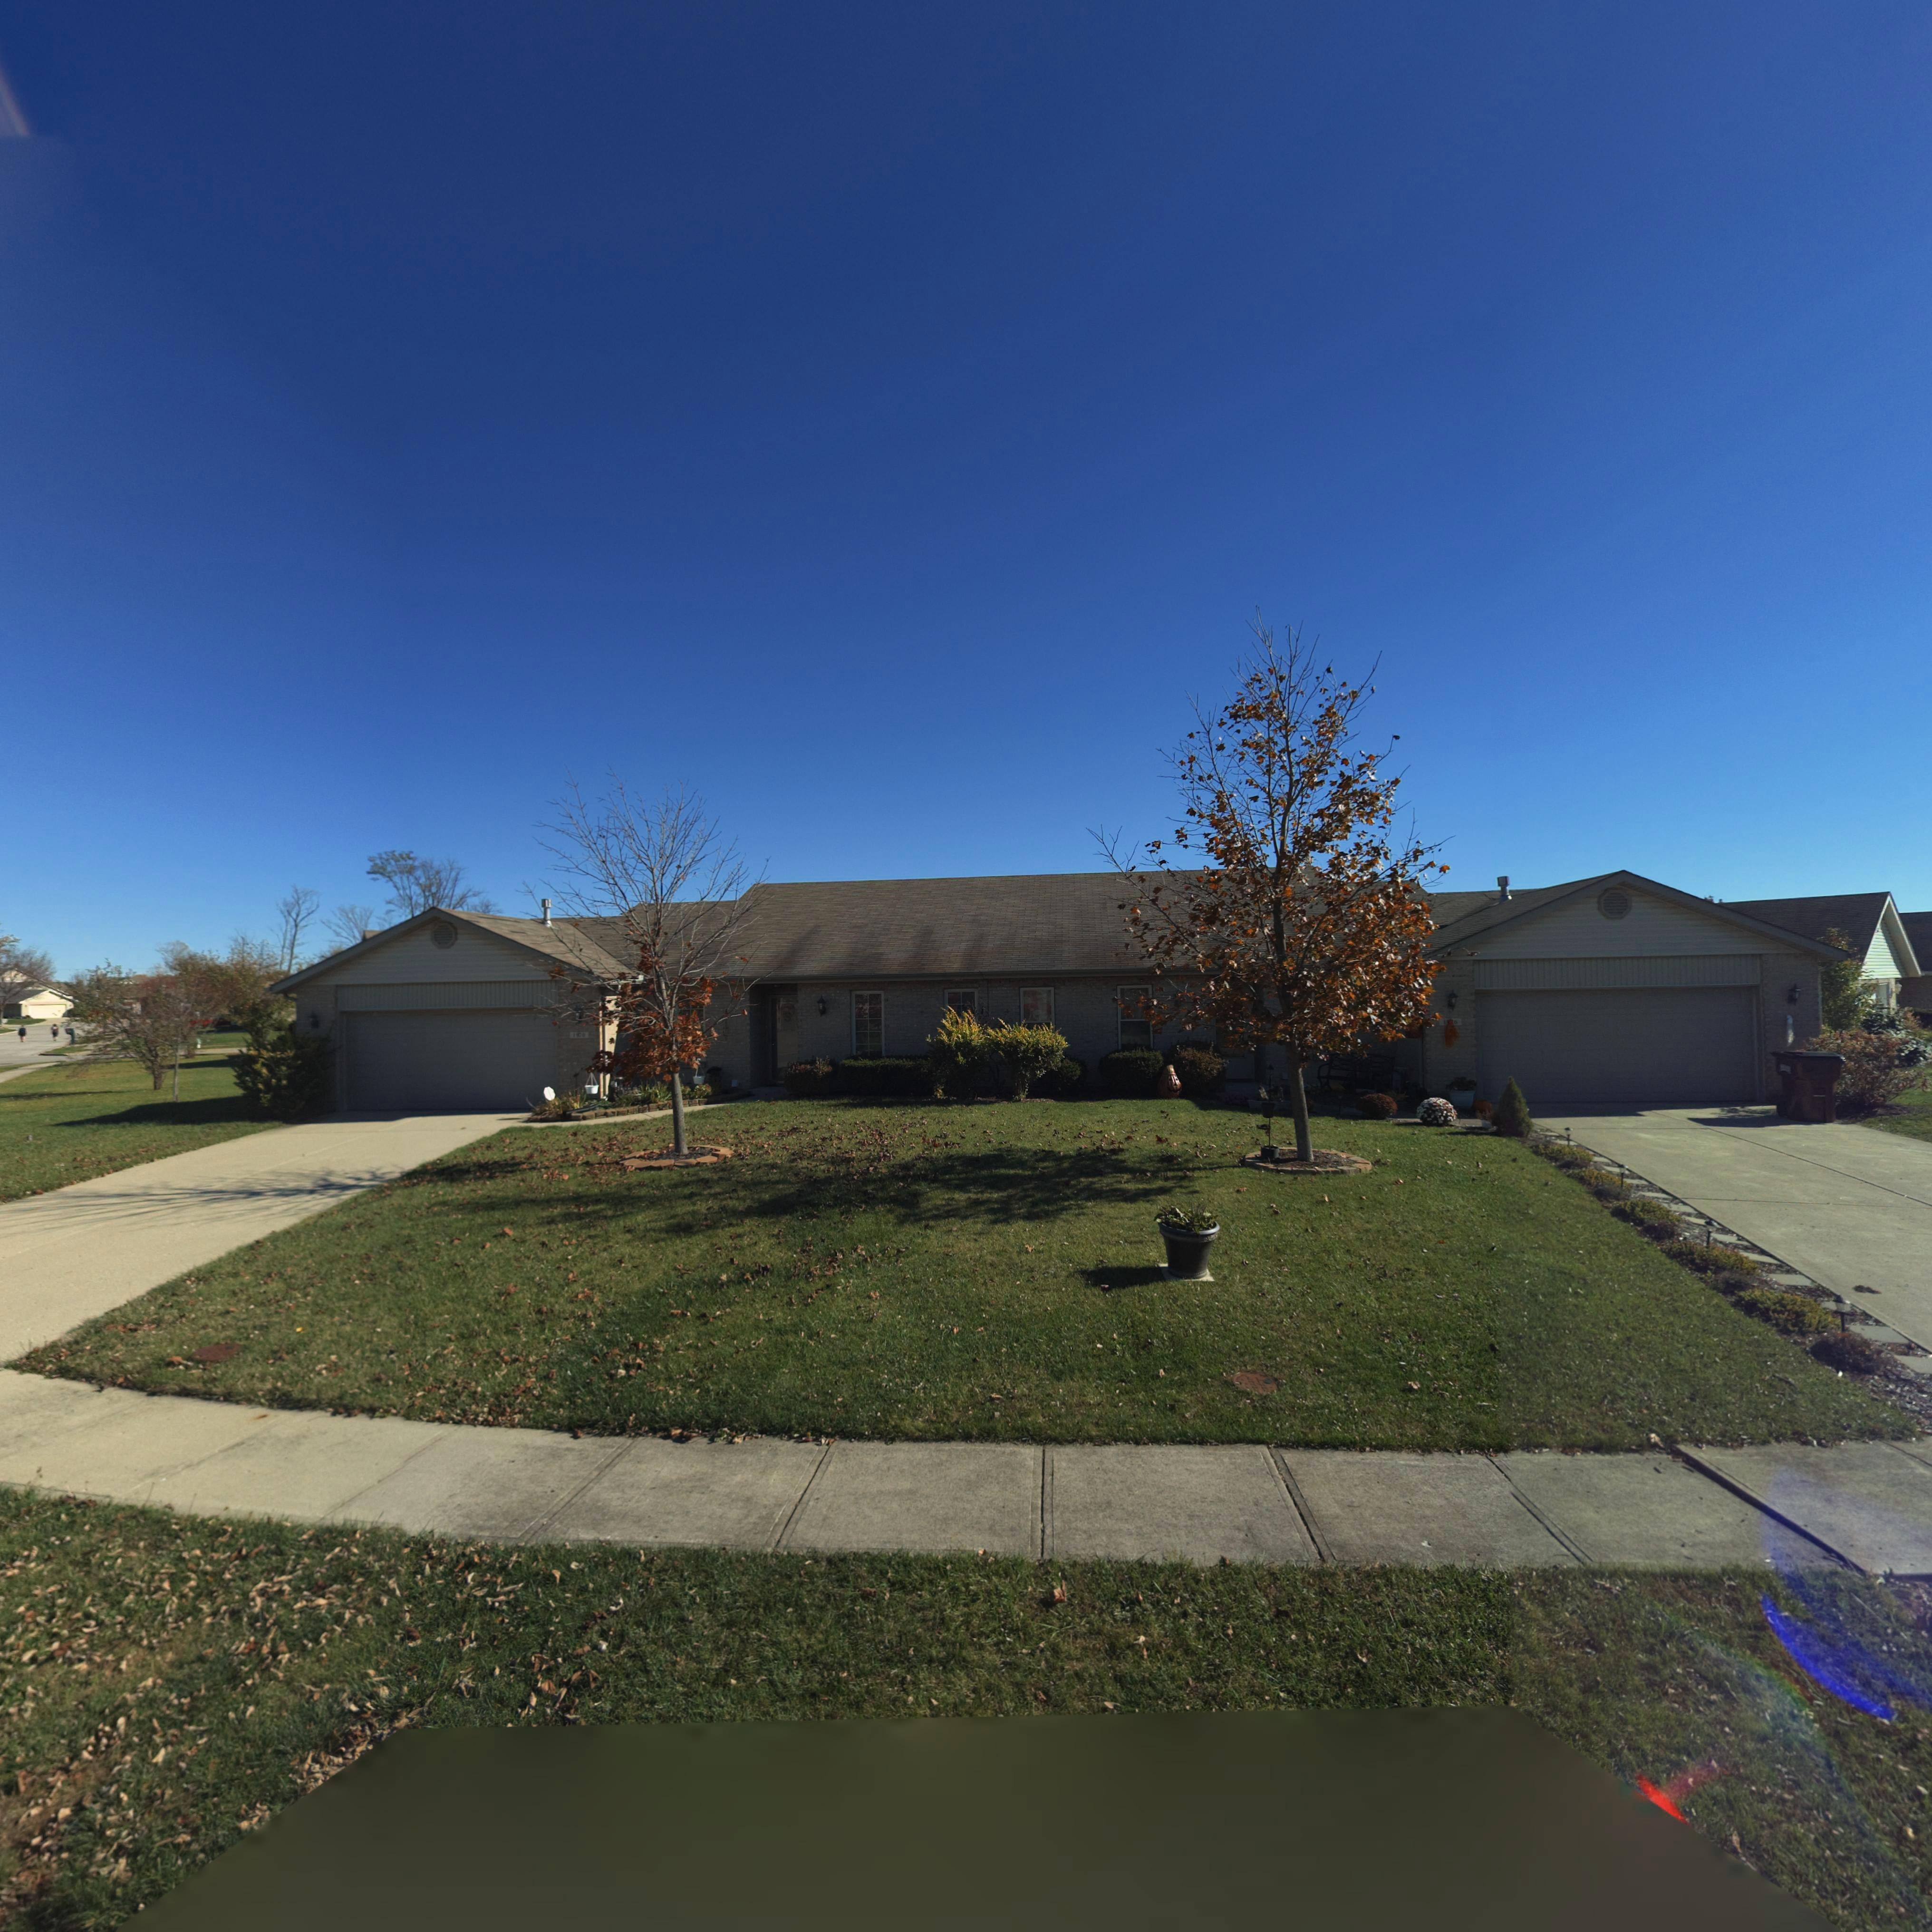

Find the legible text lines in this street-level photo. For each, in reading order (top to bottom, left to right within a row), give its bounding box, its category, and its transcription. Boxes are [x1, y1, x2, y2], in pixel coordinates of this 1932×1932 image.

[1442, 1018, 1459, 1026] StreetNumber: 1**6
[572, 1031, 588, 1039] StreetNumber: 1***